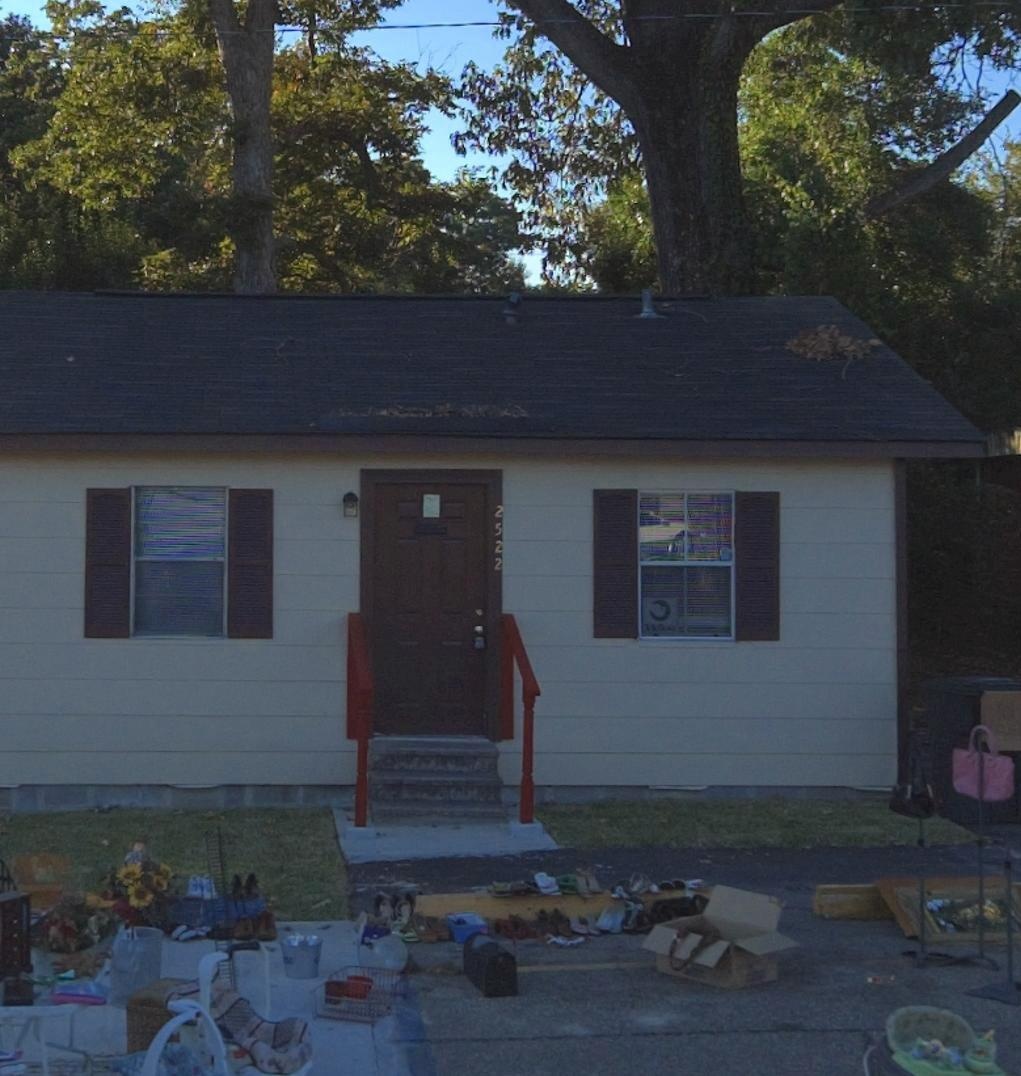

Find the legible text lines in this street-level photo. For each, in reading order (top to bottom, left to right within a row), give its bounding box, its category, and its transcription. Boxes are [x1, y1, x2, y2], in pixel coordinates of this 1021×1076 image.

[493, 504, 503, 572] StreetNumber: 2522